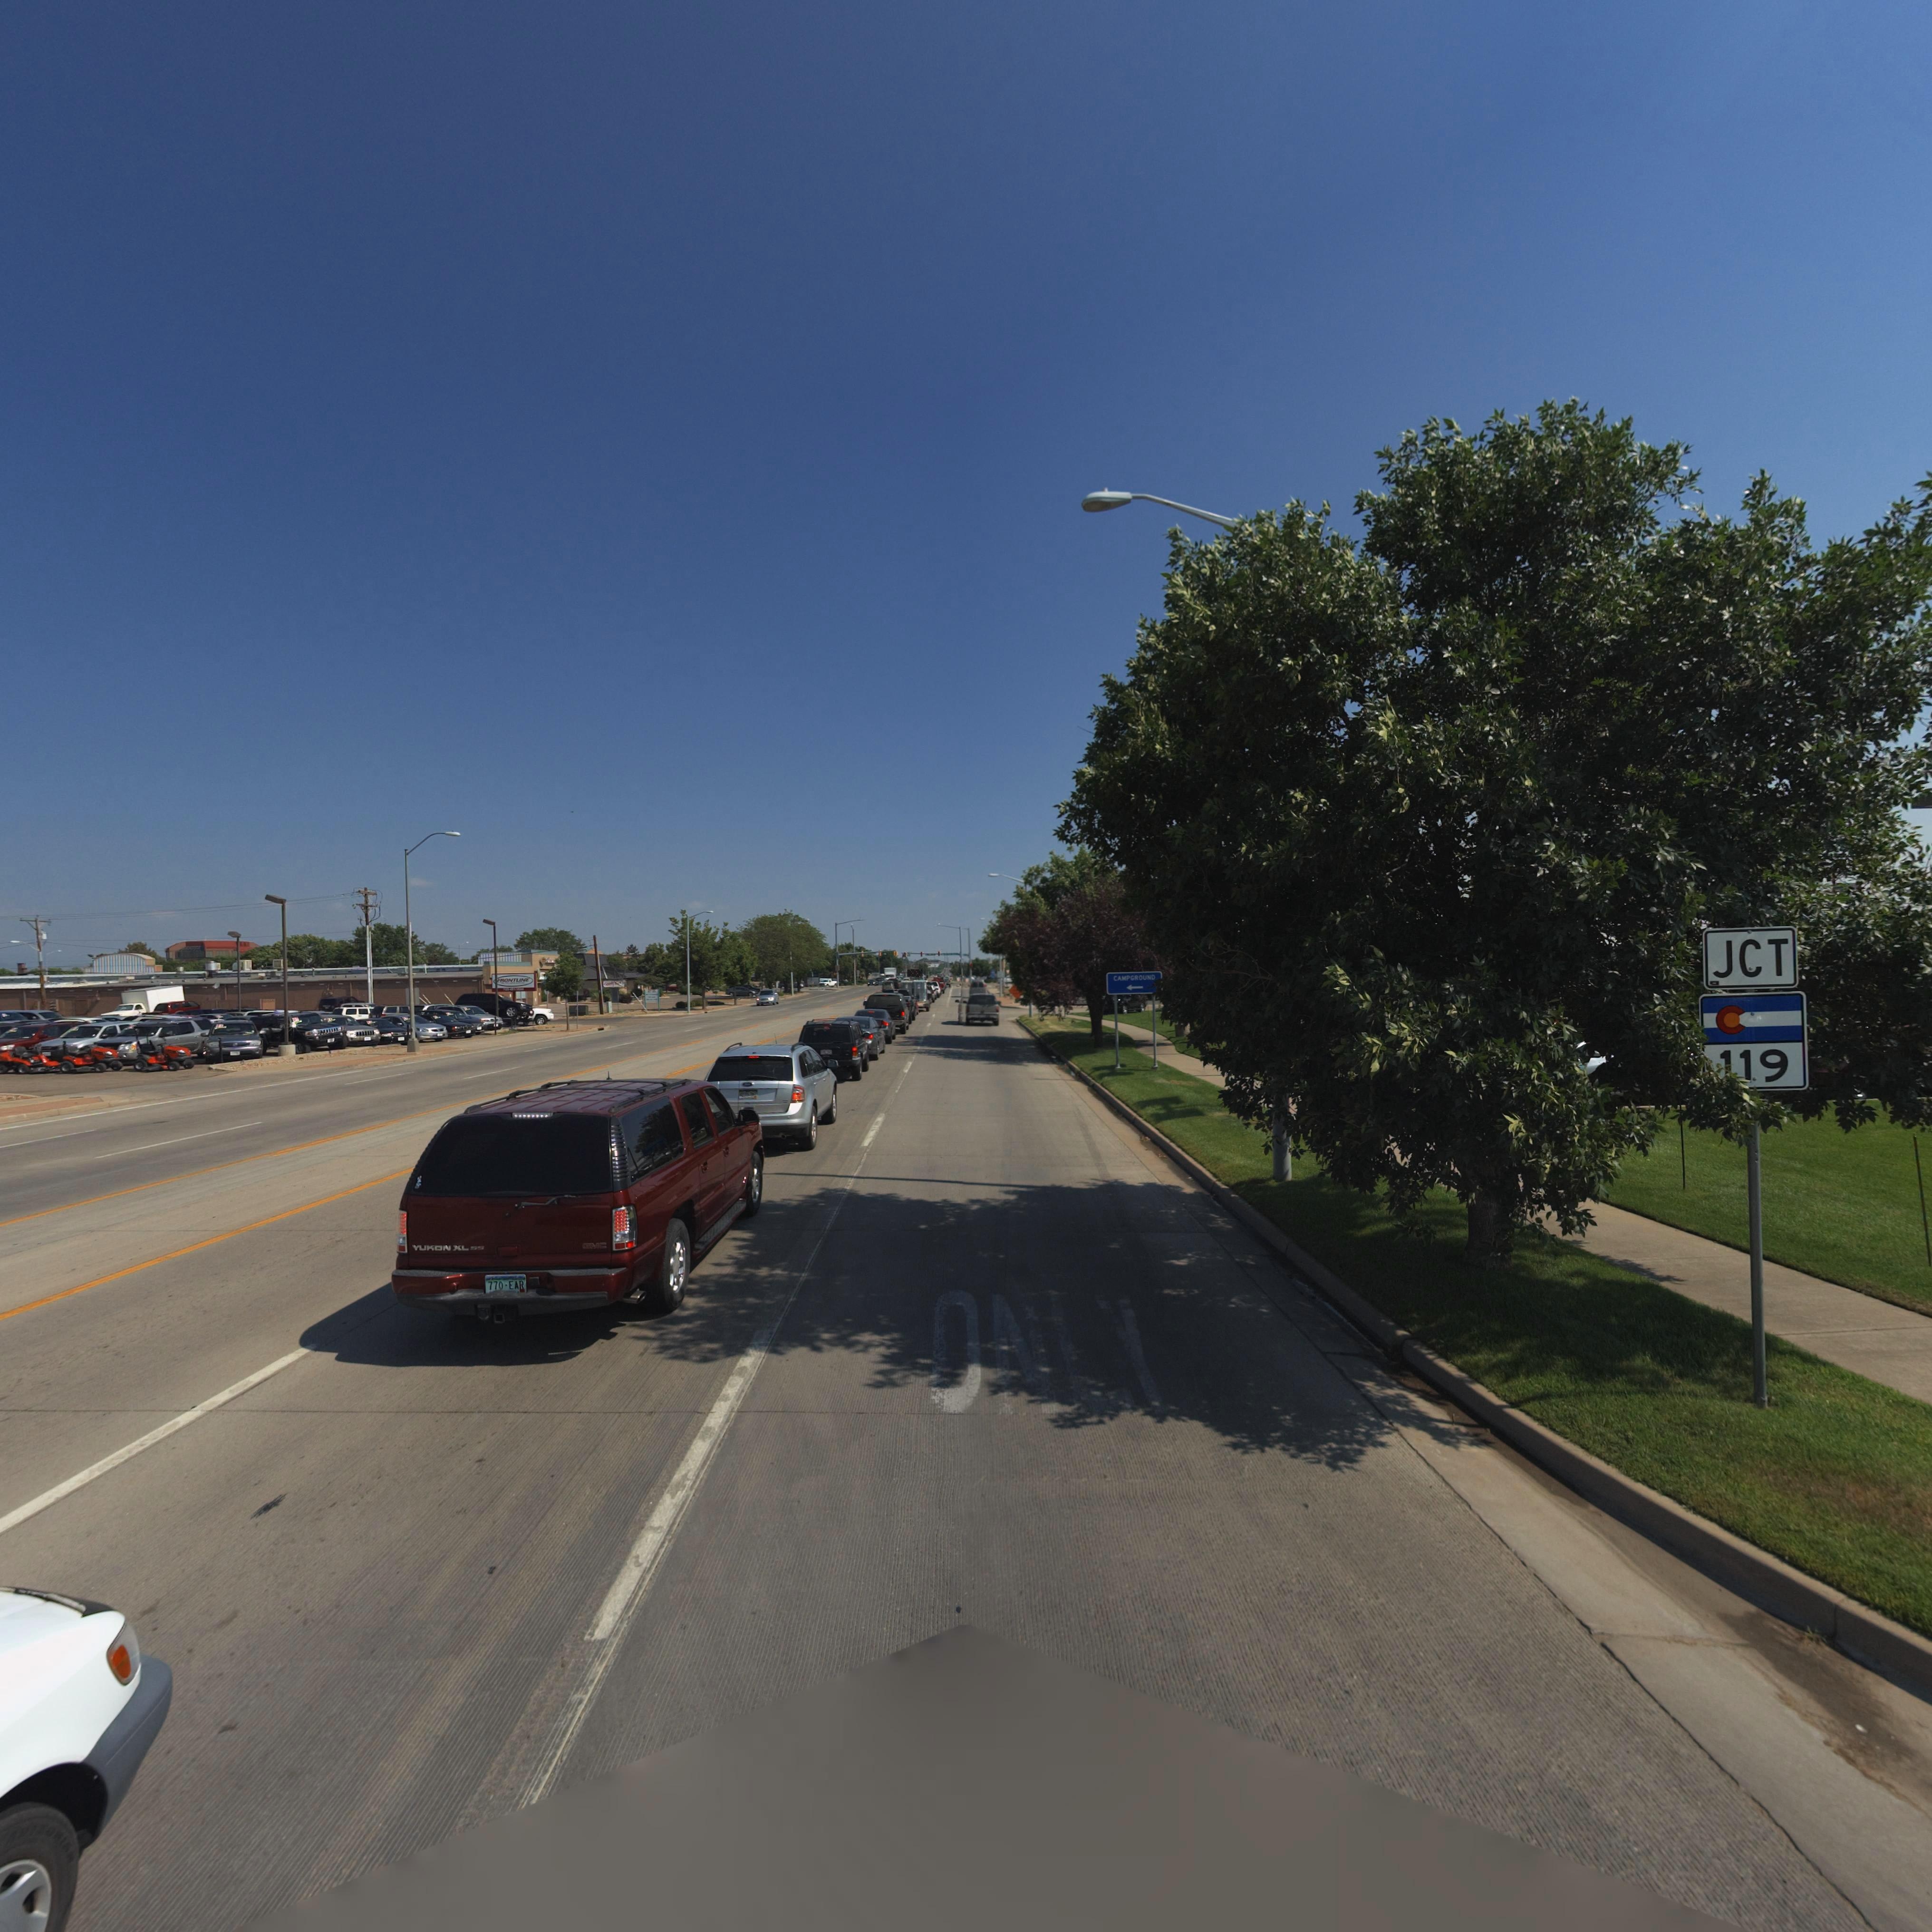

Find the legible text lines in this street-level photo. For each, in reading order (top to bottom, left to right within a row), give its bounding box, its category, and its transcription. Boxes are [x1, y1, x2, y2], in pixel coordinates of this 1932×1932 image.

[496, 978, 529, 982] BusinessName: FRONTLINE
[603, 980, 625, 986] BusinessName: Goodfella's